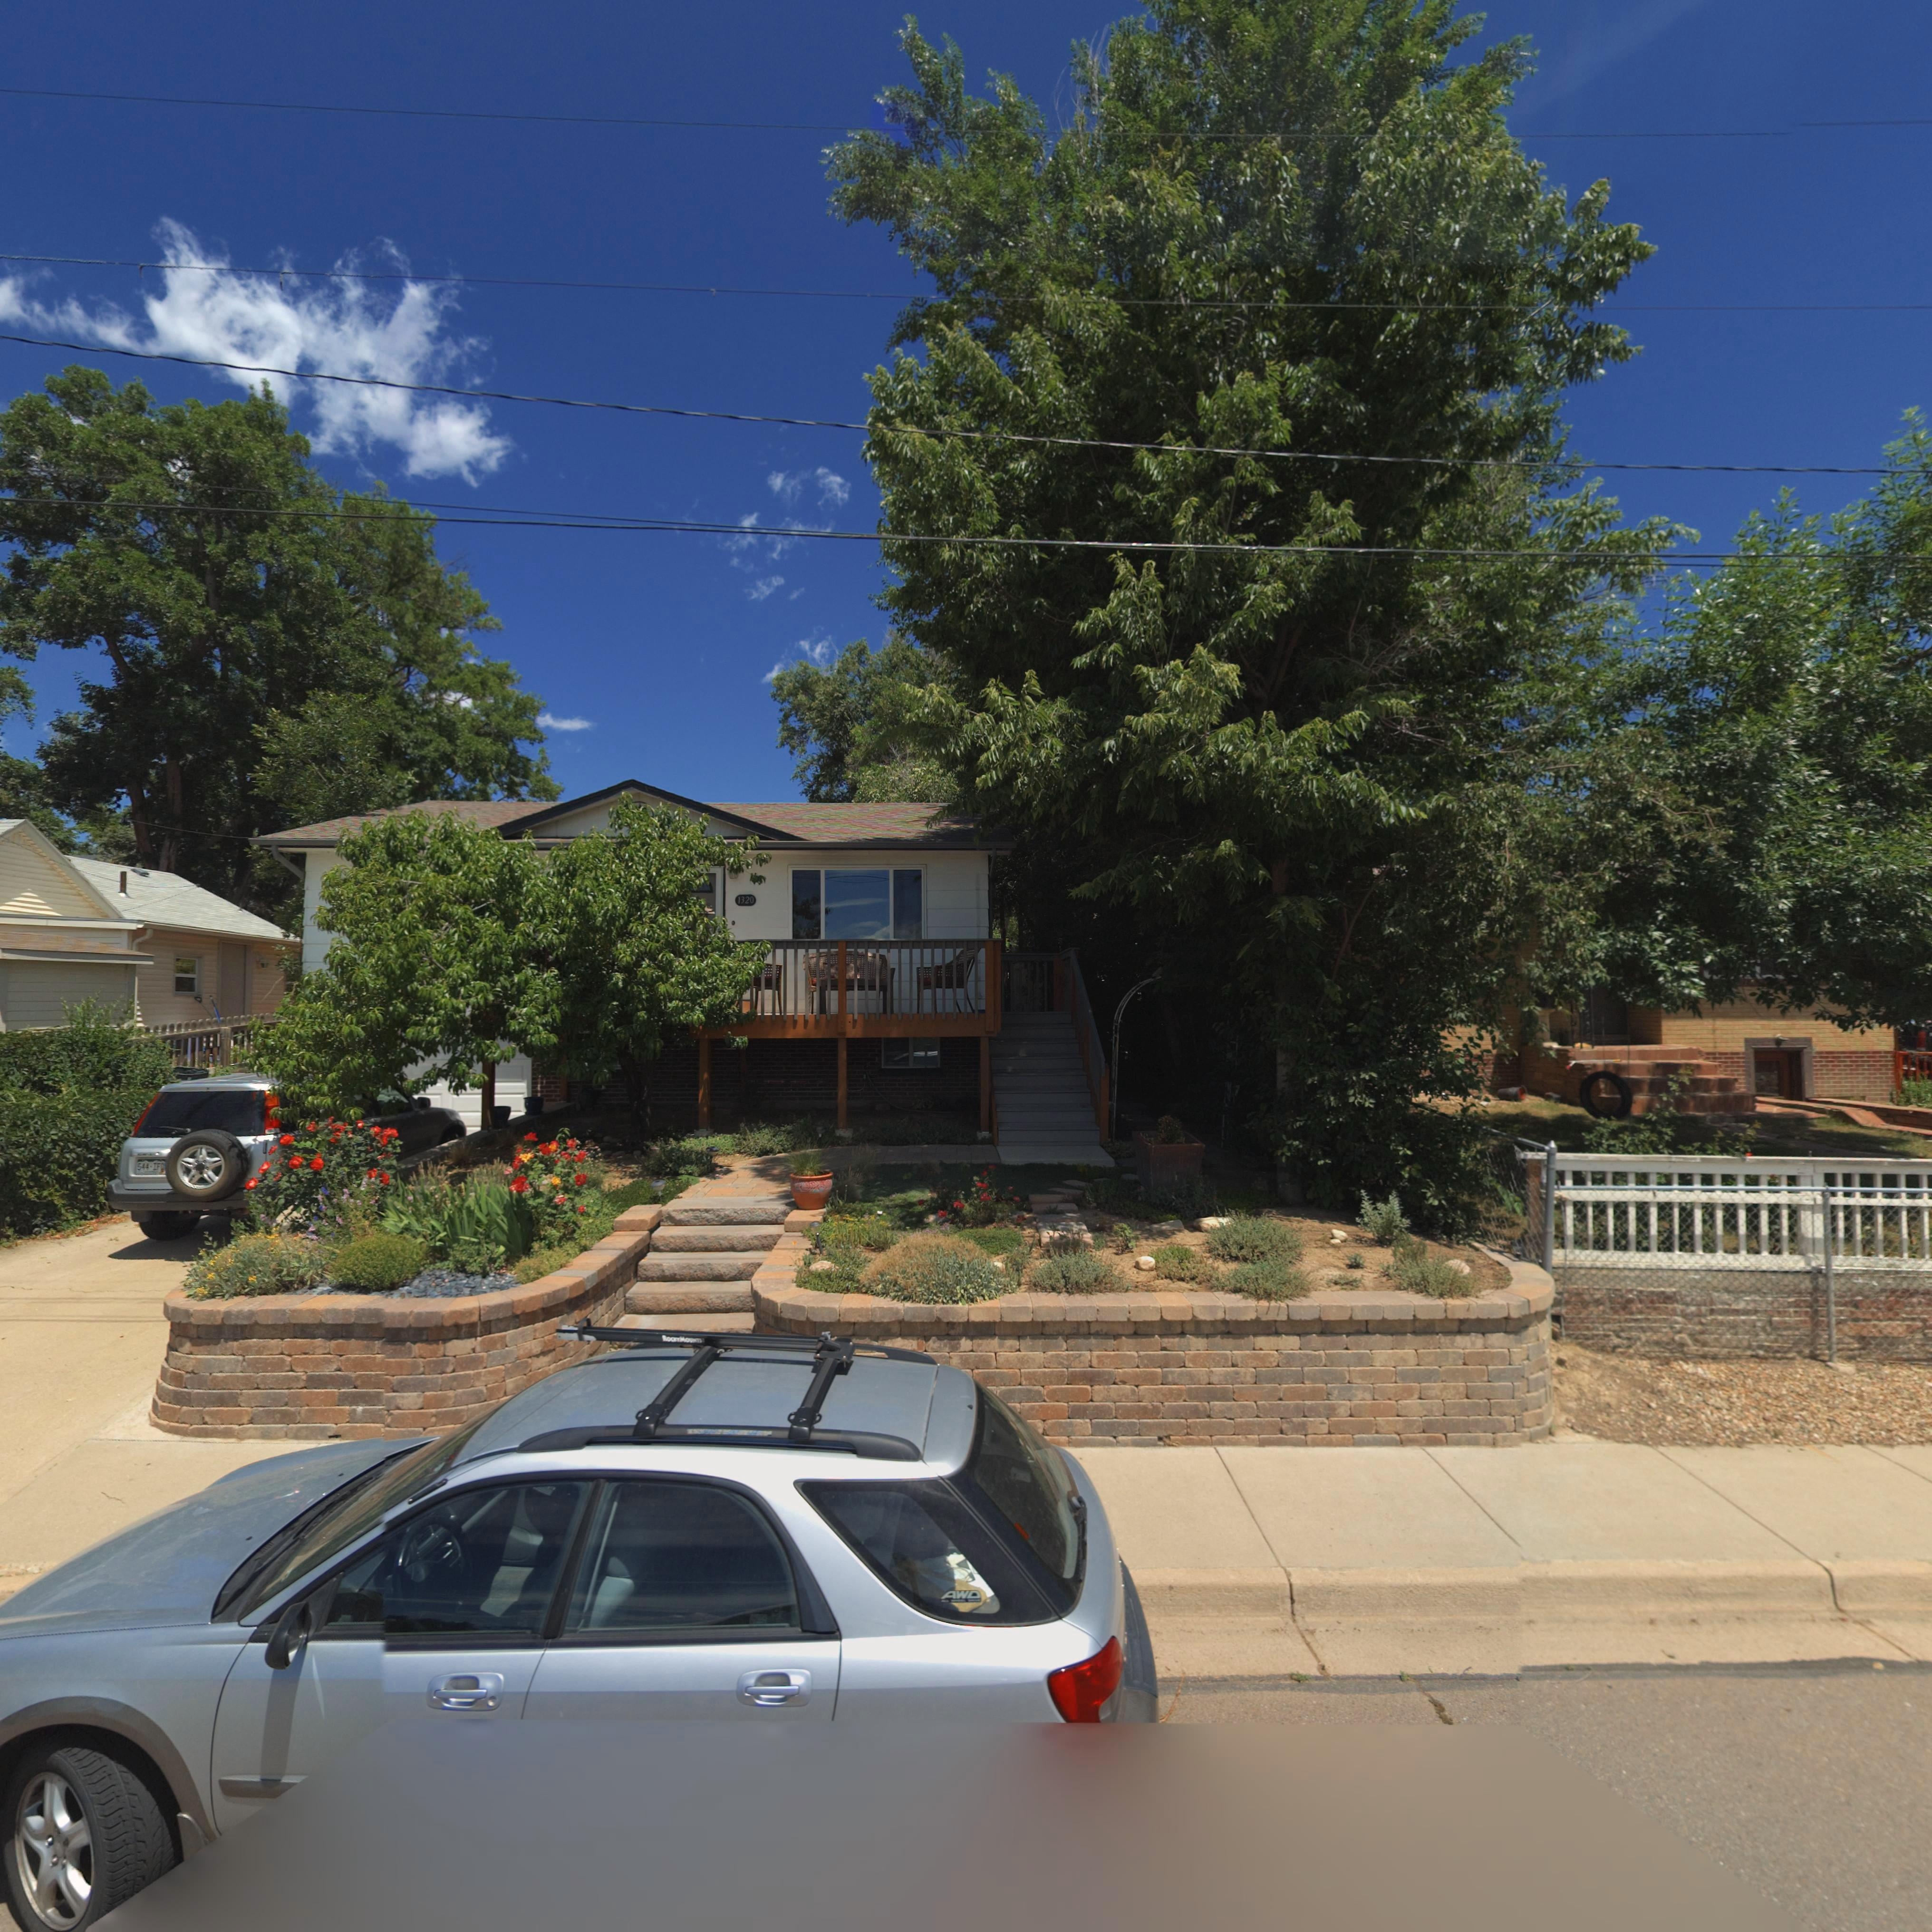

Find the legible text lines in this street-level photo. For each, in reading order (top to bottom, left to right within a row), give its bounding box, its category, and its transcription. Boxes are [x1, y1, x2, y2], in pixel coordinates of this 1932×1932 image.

[738, 896, 753, 904] StreetNumber: 1320